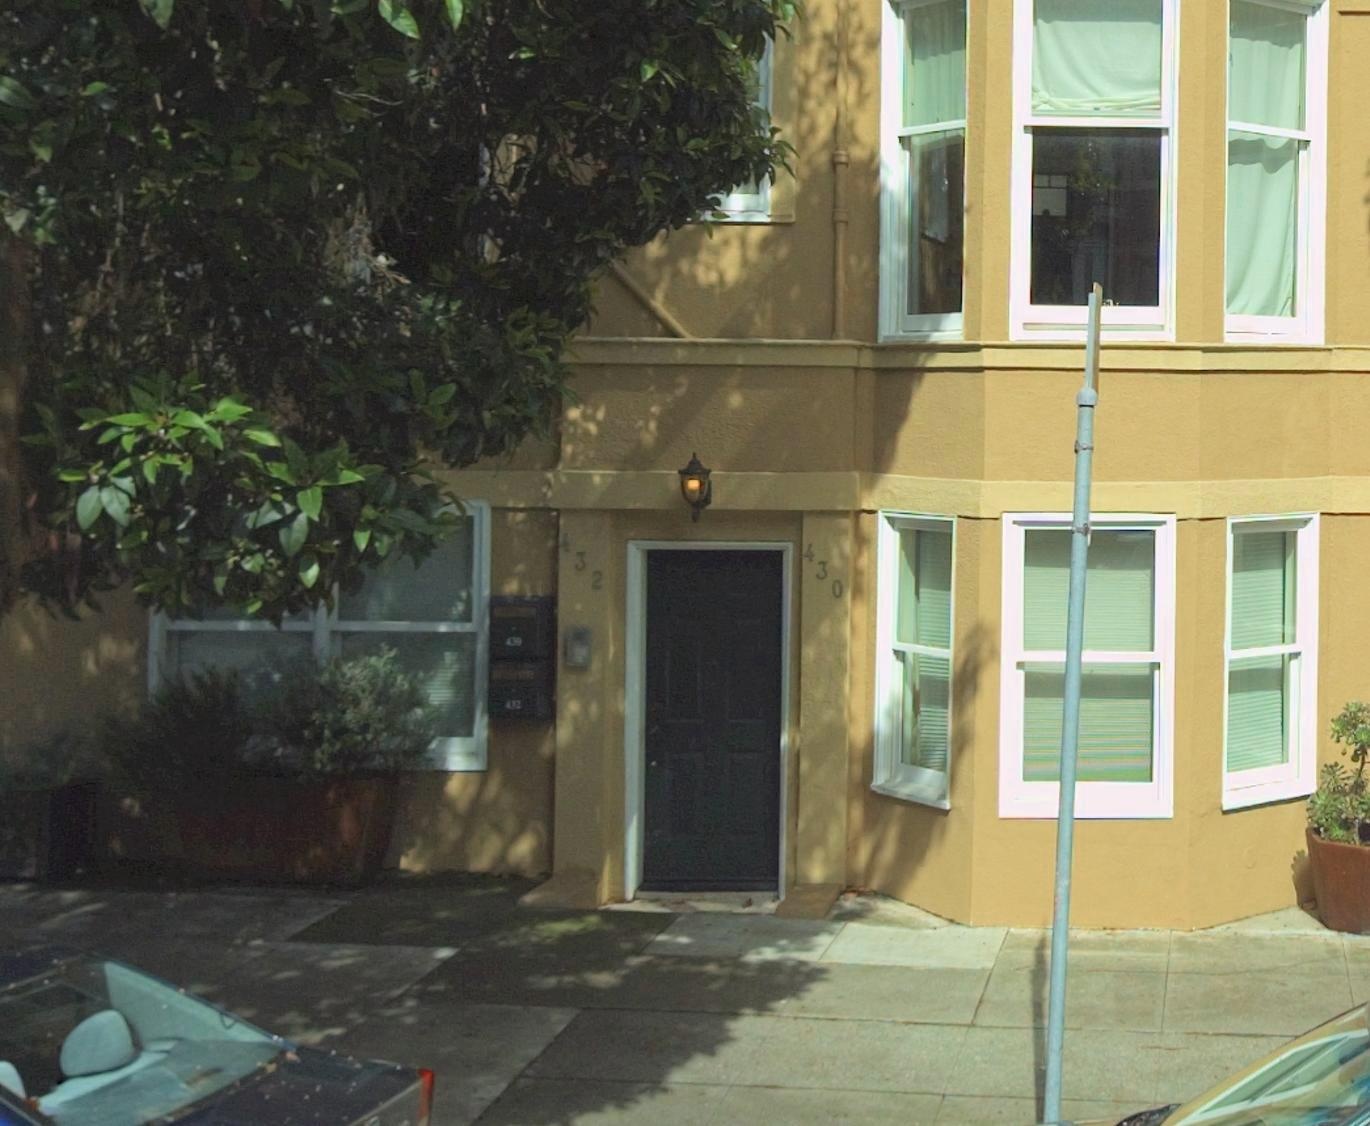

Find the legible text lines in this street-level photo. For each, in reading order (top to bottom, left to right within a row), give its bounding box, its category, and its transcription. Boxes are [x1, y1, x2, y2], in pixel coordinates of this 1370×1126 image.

[557, 530, 606, 594] StreetNumber: 432
[800, 540, 846, 601] StreetNumber: 430